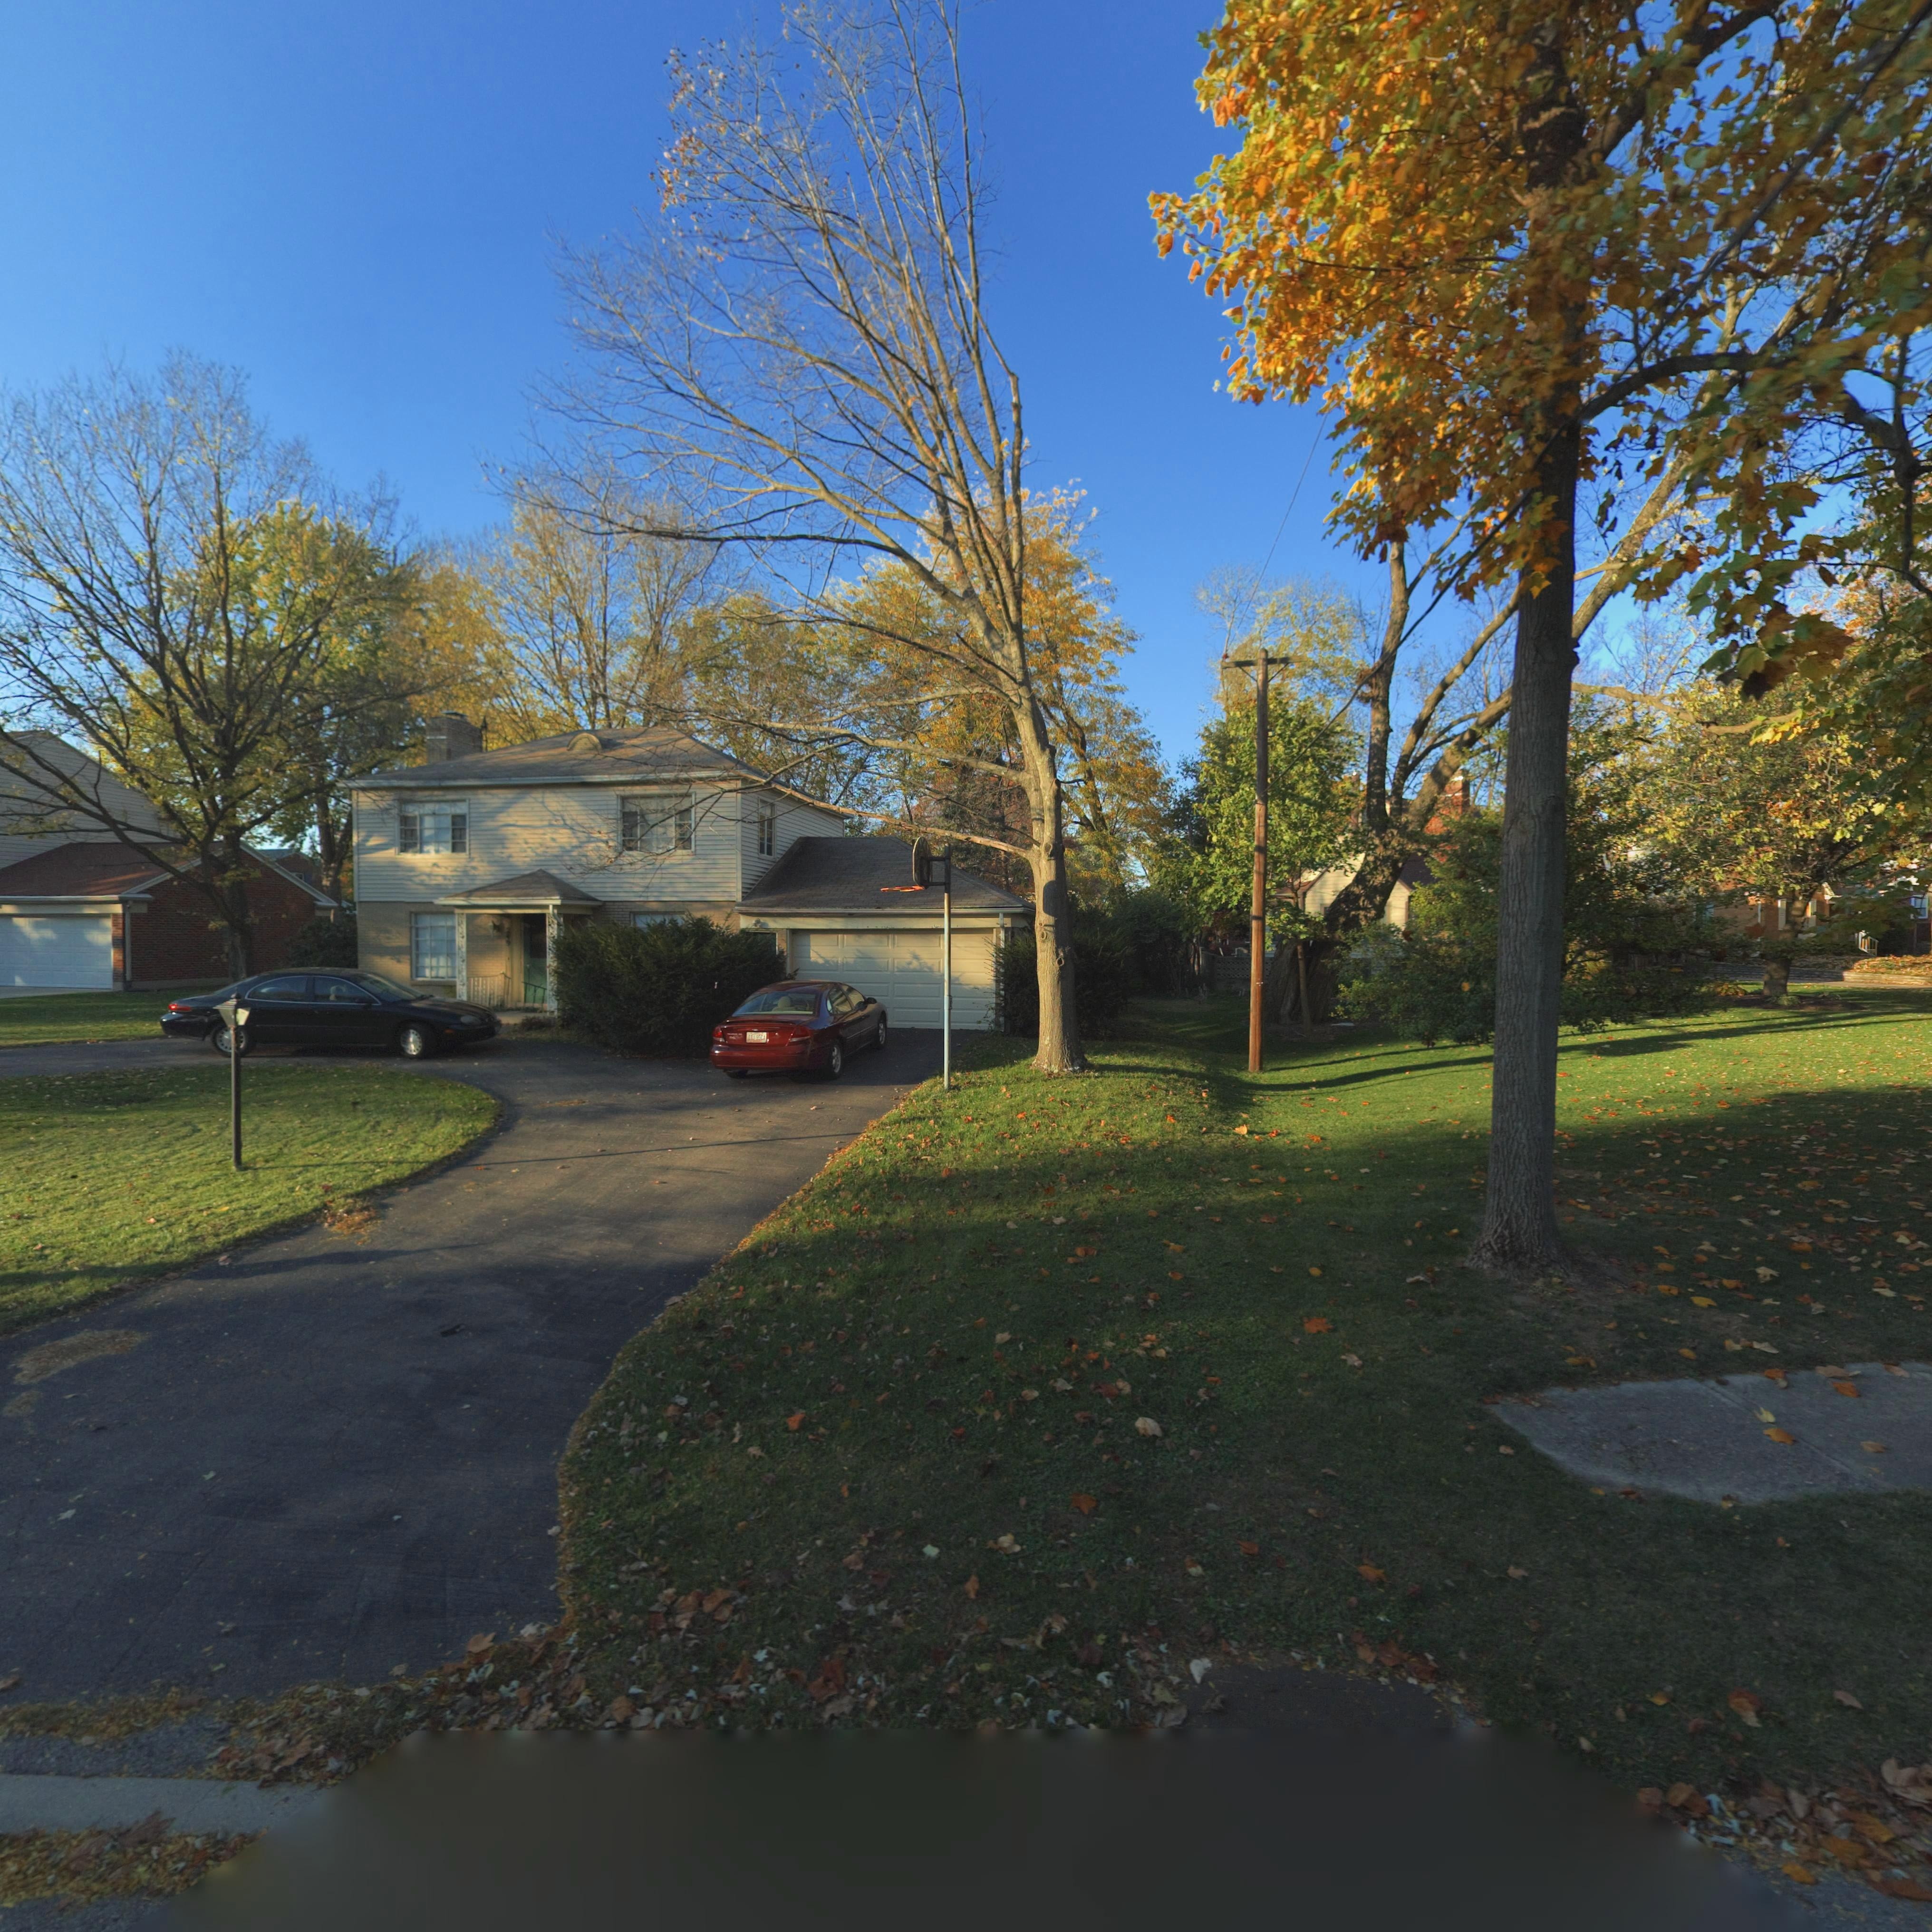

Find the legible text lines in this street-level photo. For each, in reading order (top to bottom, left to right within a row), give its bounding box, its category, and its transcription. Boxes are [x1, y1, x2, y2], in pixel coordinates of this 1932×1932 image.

[505, 927, 512, 947] StreetNumber: 249